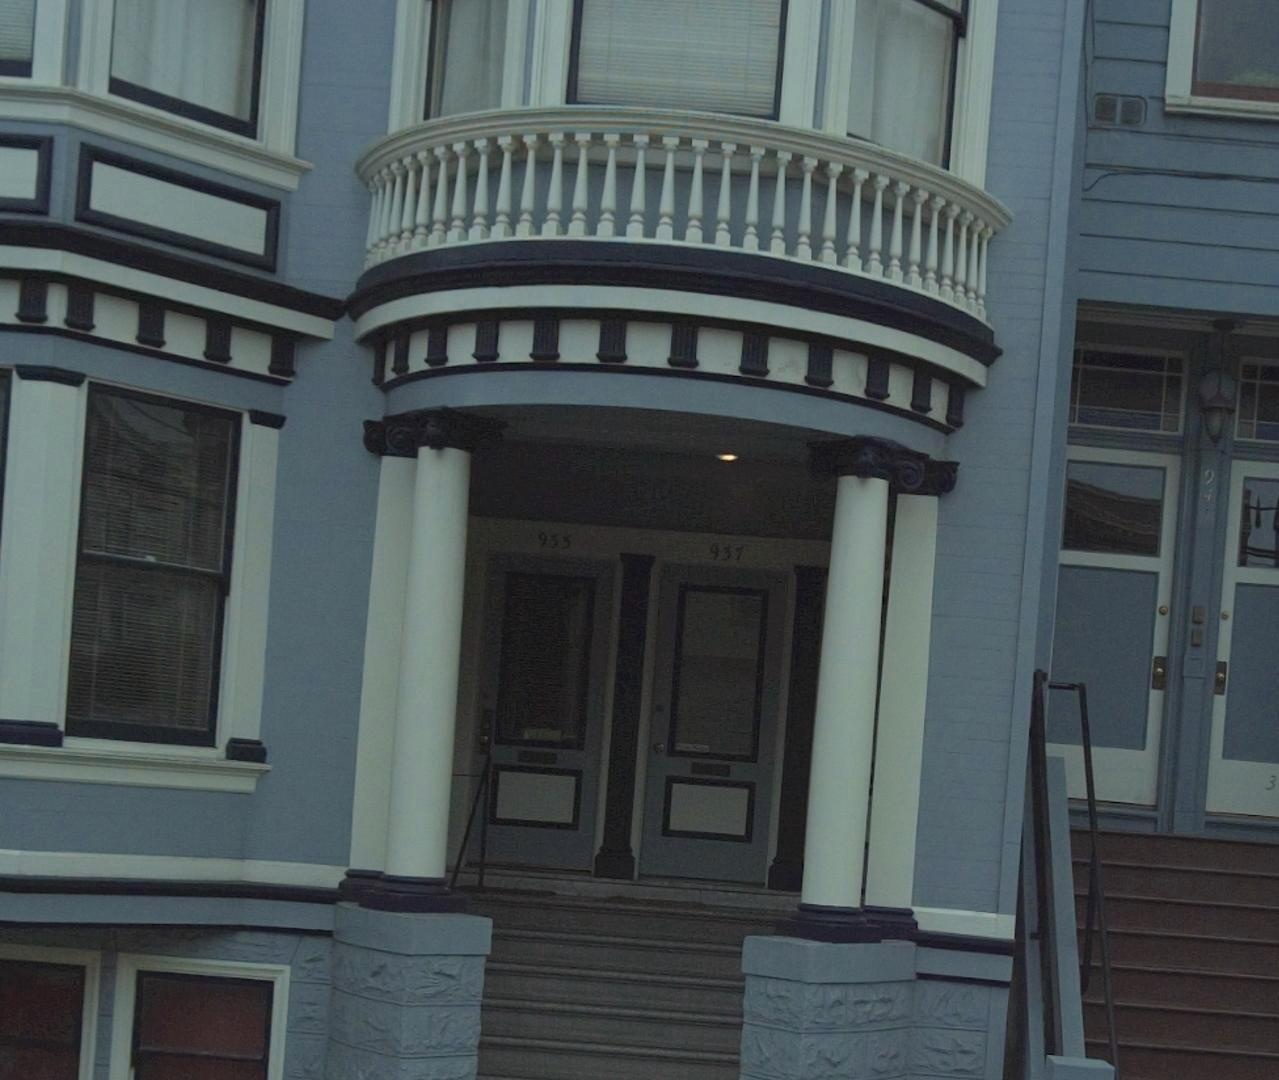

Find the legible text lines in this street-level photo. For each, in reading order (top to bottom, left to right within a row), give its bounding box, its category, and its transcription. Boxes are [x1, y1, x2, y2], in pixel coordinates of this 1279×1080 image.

[1201, 464, 1216, 488] StreetNumber: 9
[536, 529, 574, 553] StreetNumber: 935
[706, 542, 747, 564] StreetNumber: 937
[1262, 772, 1279, 793] StreetNumber: 3